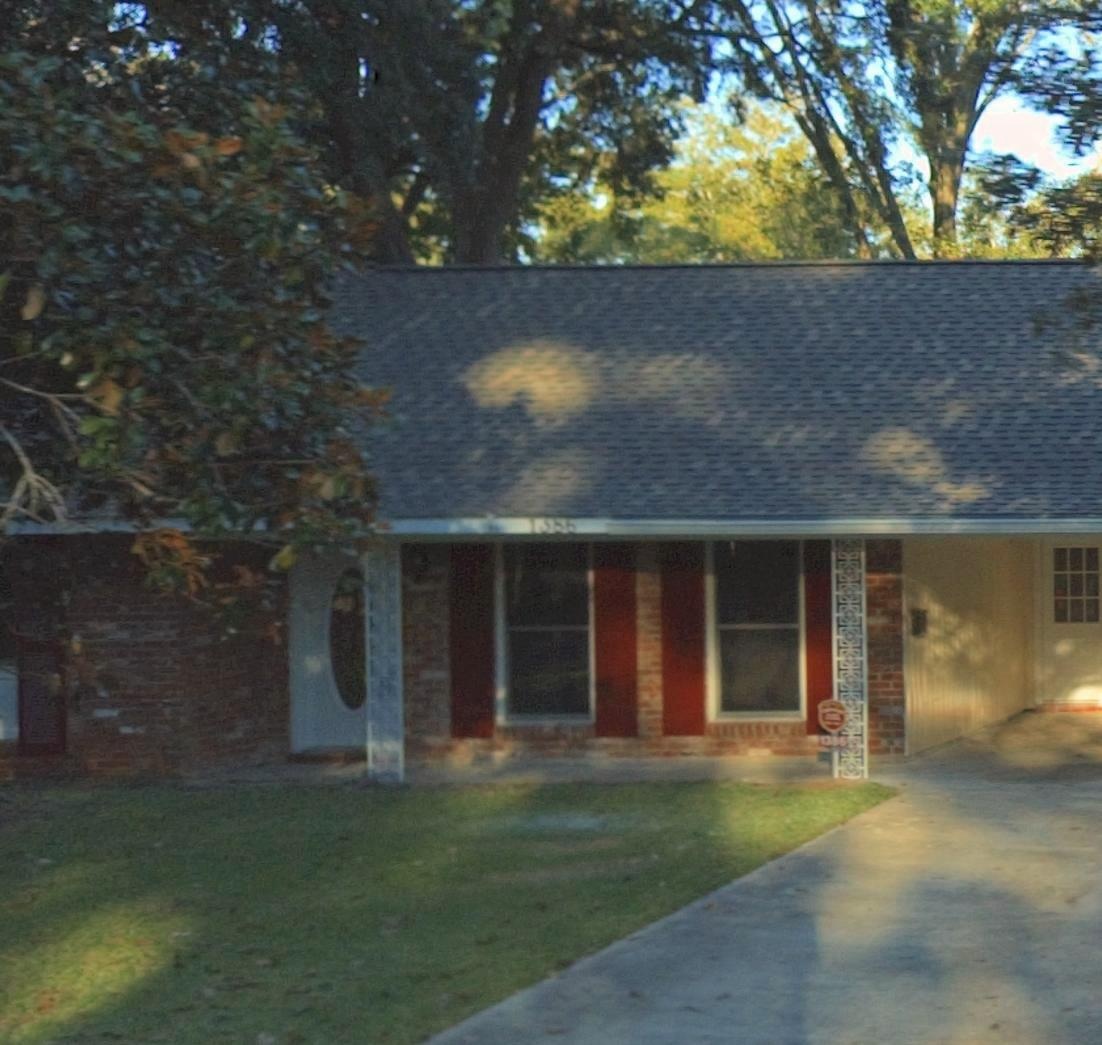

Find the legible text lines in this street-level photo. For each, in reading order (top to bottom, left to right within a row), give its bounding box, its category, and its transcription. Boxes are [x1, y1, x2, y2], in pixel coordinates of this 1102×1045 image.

[527, 516, 578, 535] StreetNumber: 1386